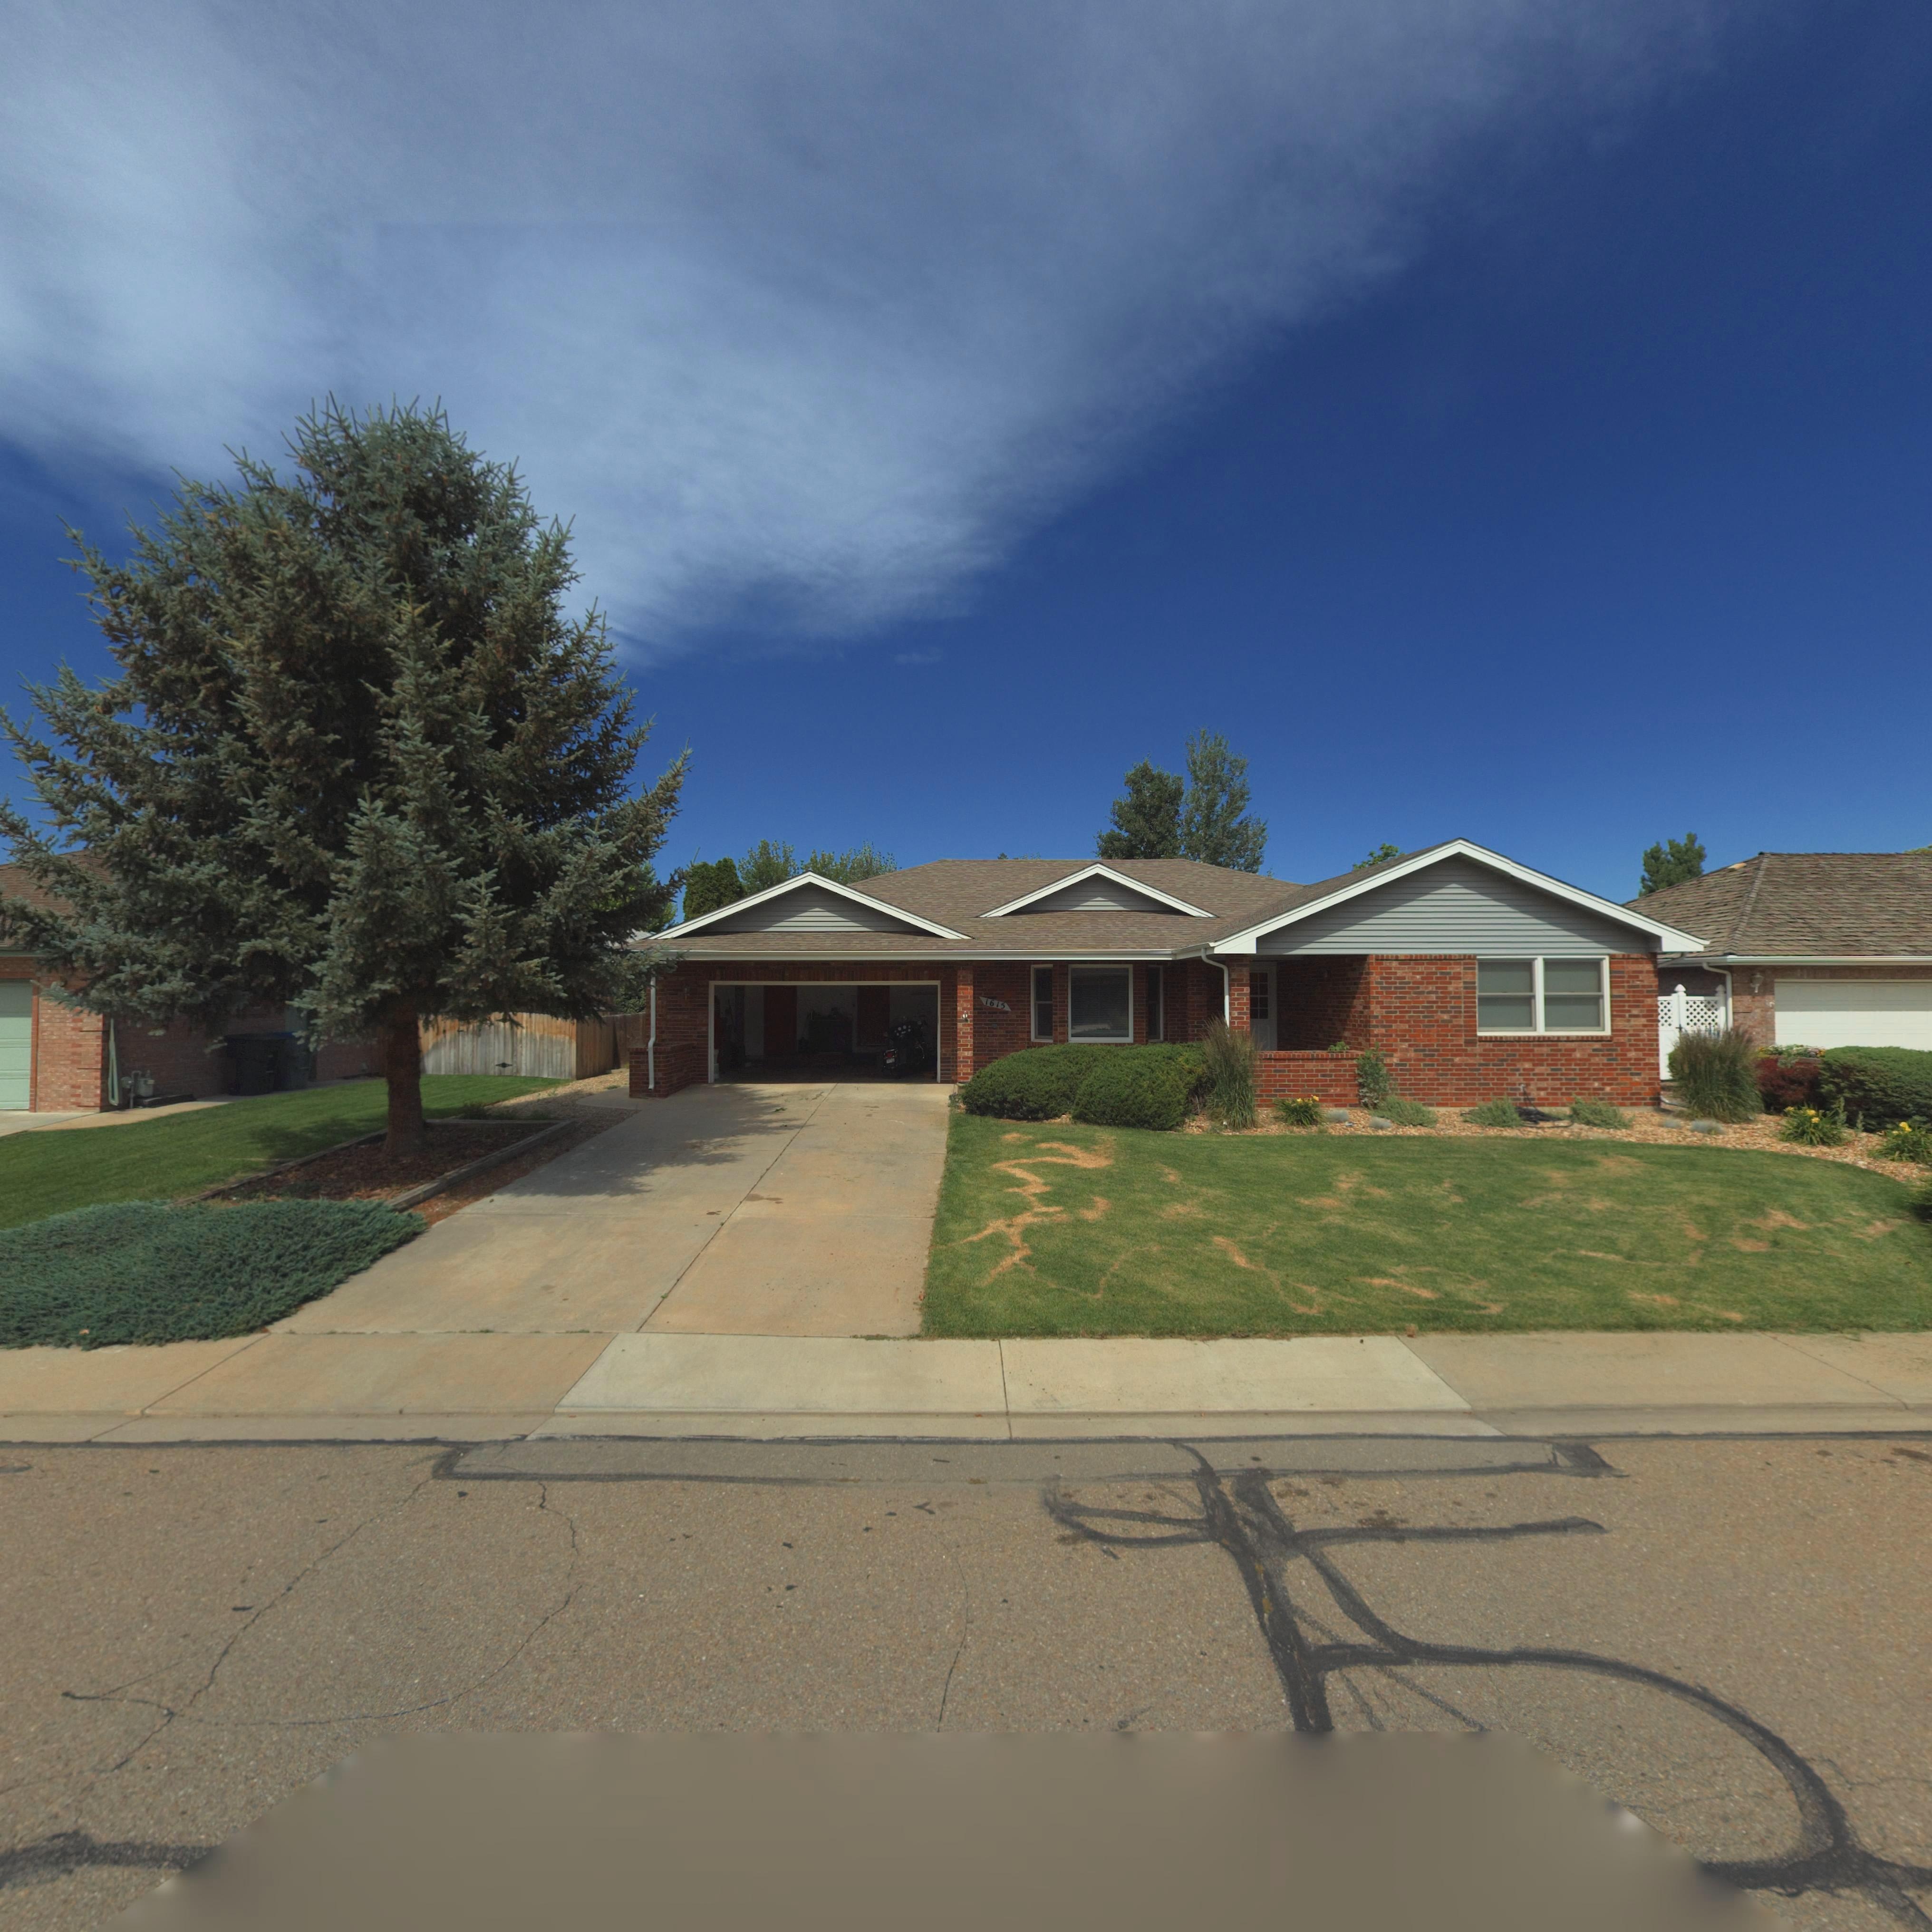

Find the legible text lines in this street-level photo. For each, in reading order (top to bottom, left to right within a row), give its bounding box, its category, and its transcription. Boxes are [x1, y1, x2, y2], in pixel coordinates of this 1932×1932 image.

[984, 998, 1005, 1009] StreetNumber: 1615